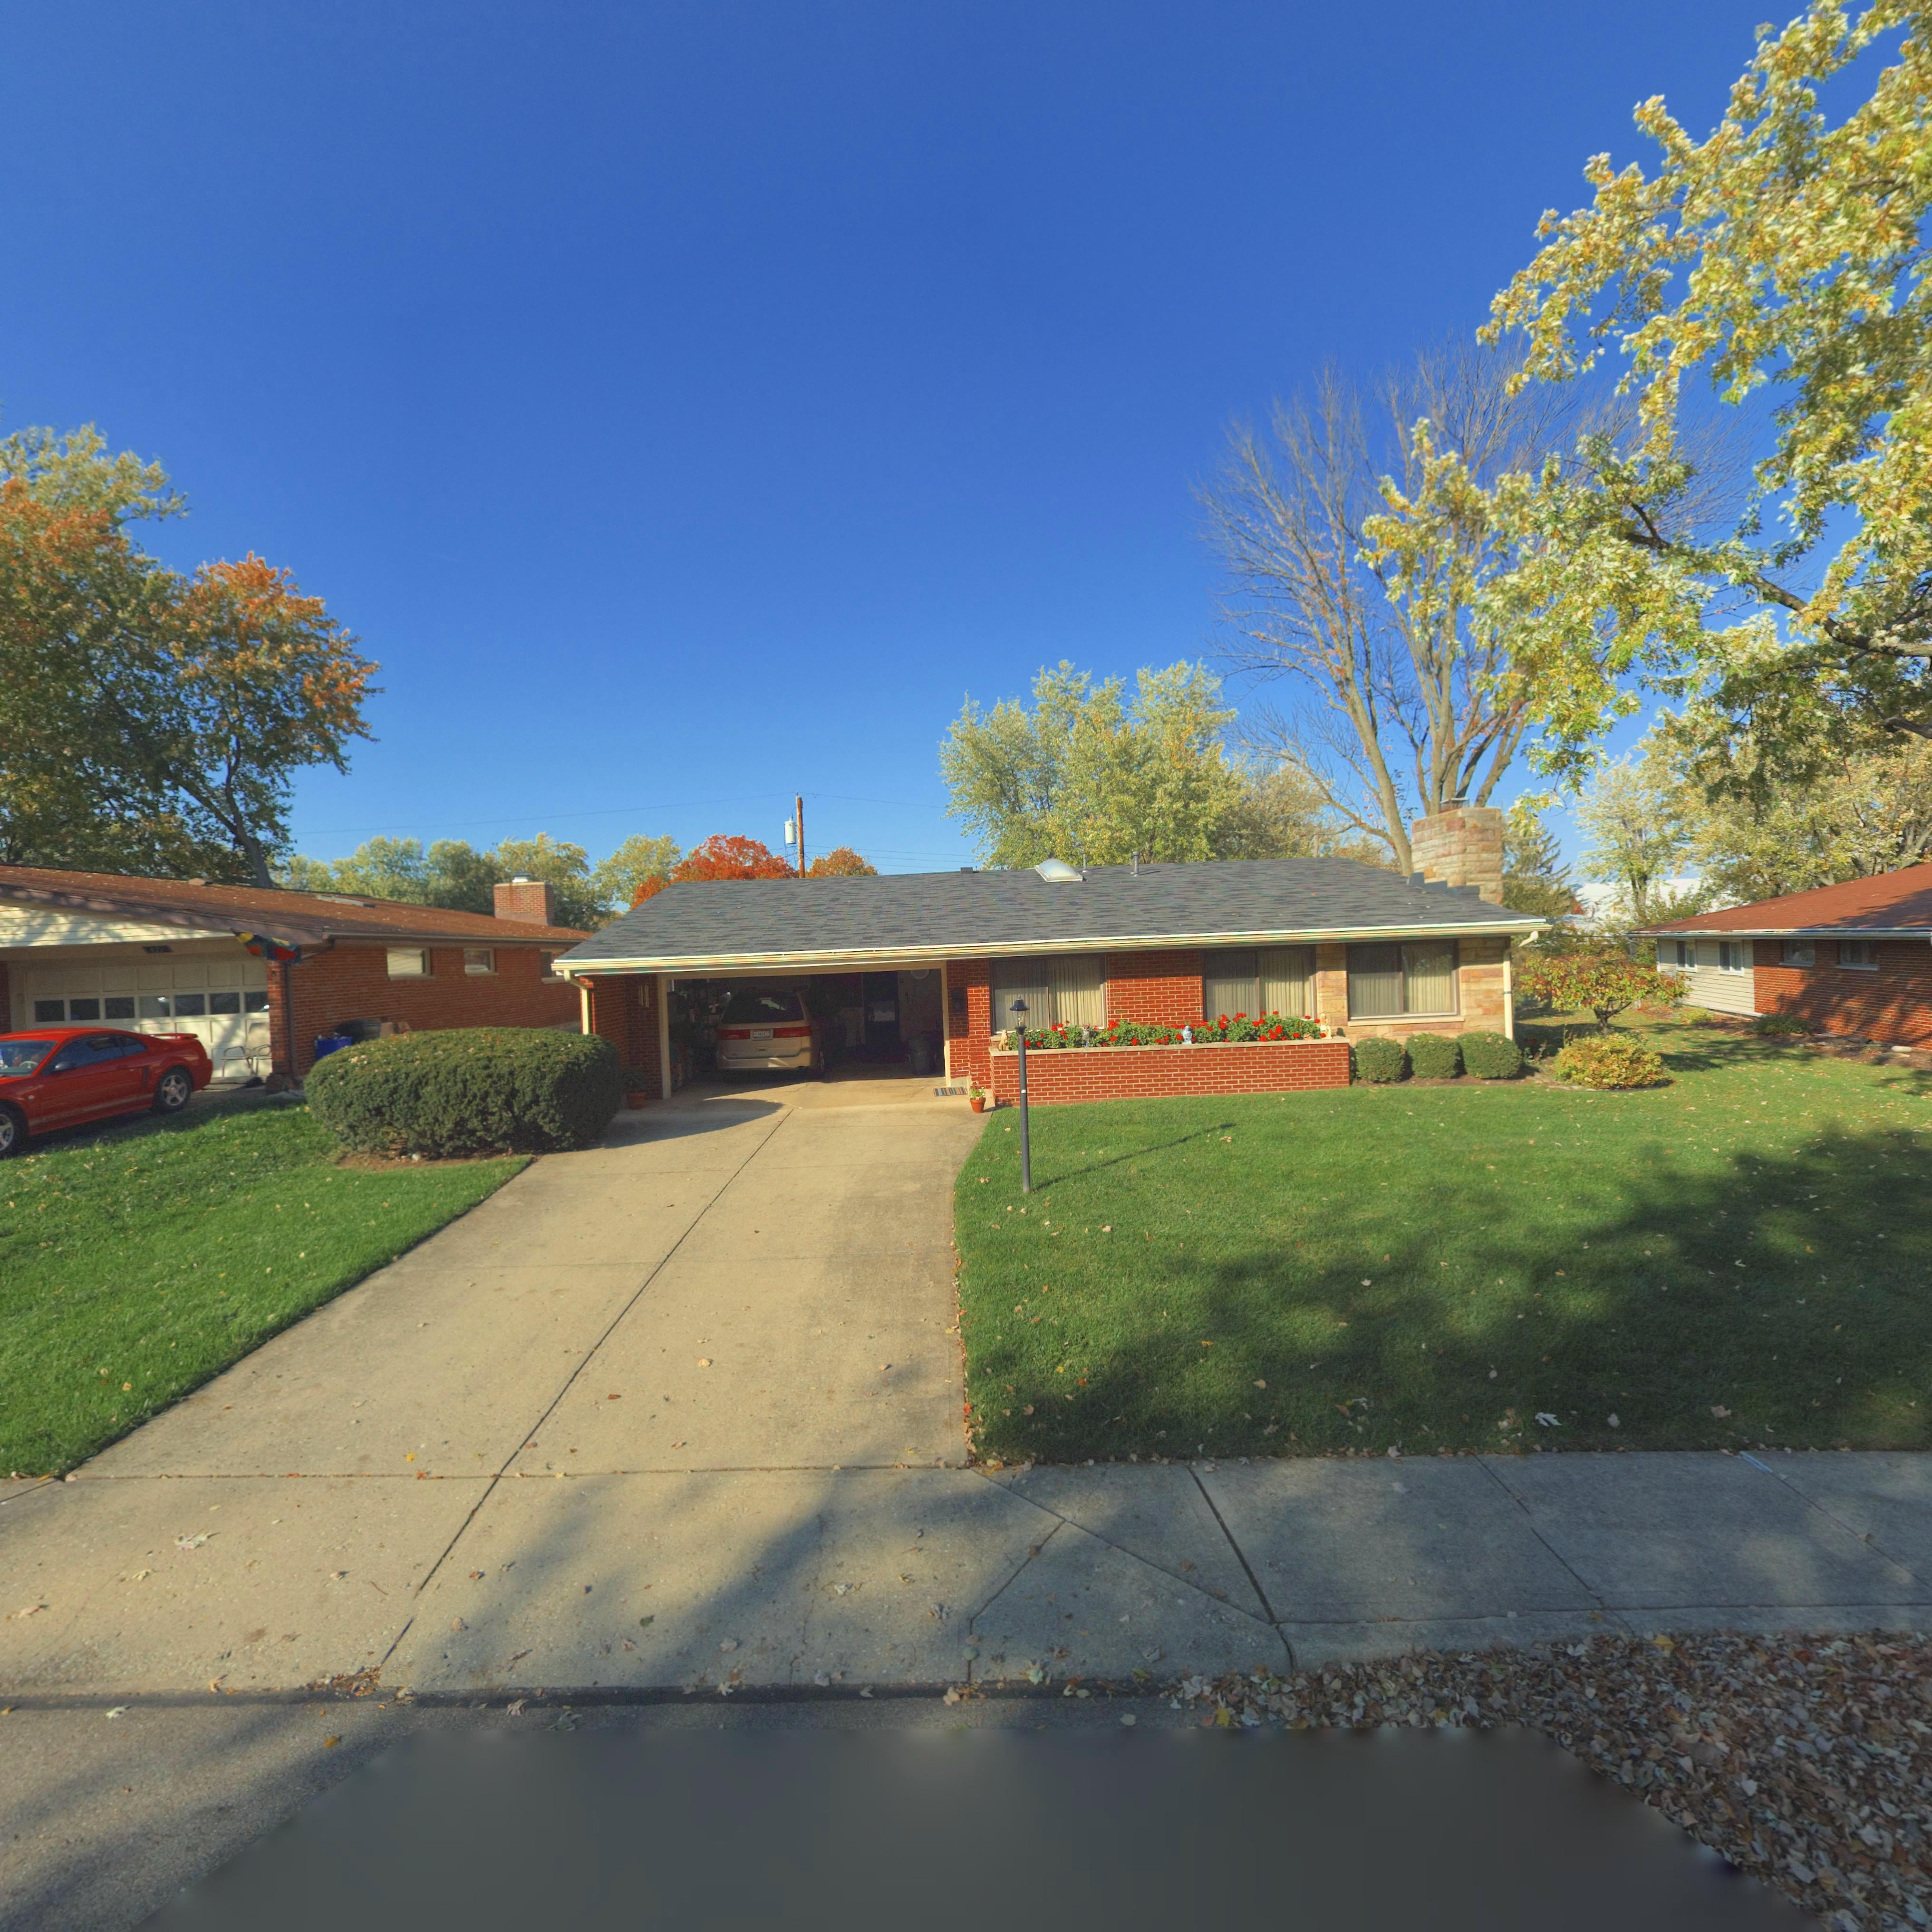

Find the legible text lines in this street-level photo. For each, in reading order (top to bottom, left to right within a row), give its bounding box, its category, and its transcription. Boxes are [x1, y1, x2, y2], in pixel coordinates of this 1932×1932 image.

[149, 946, 165, 952] StreetNumber: 821